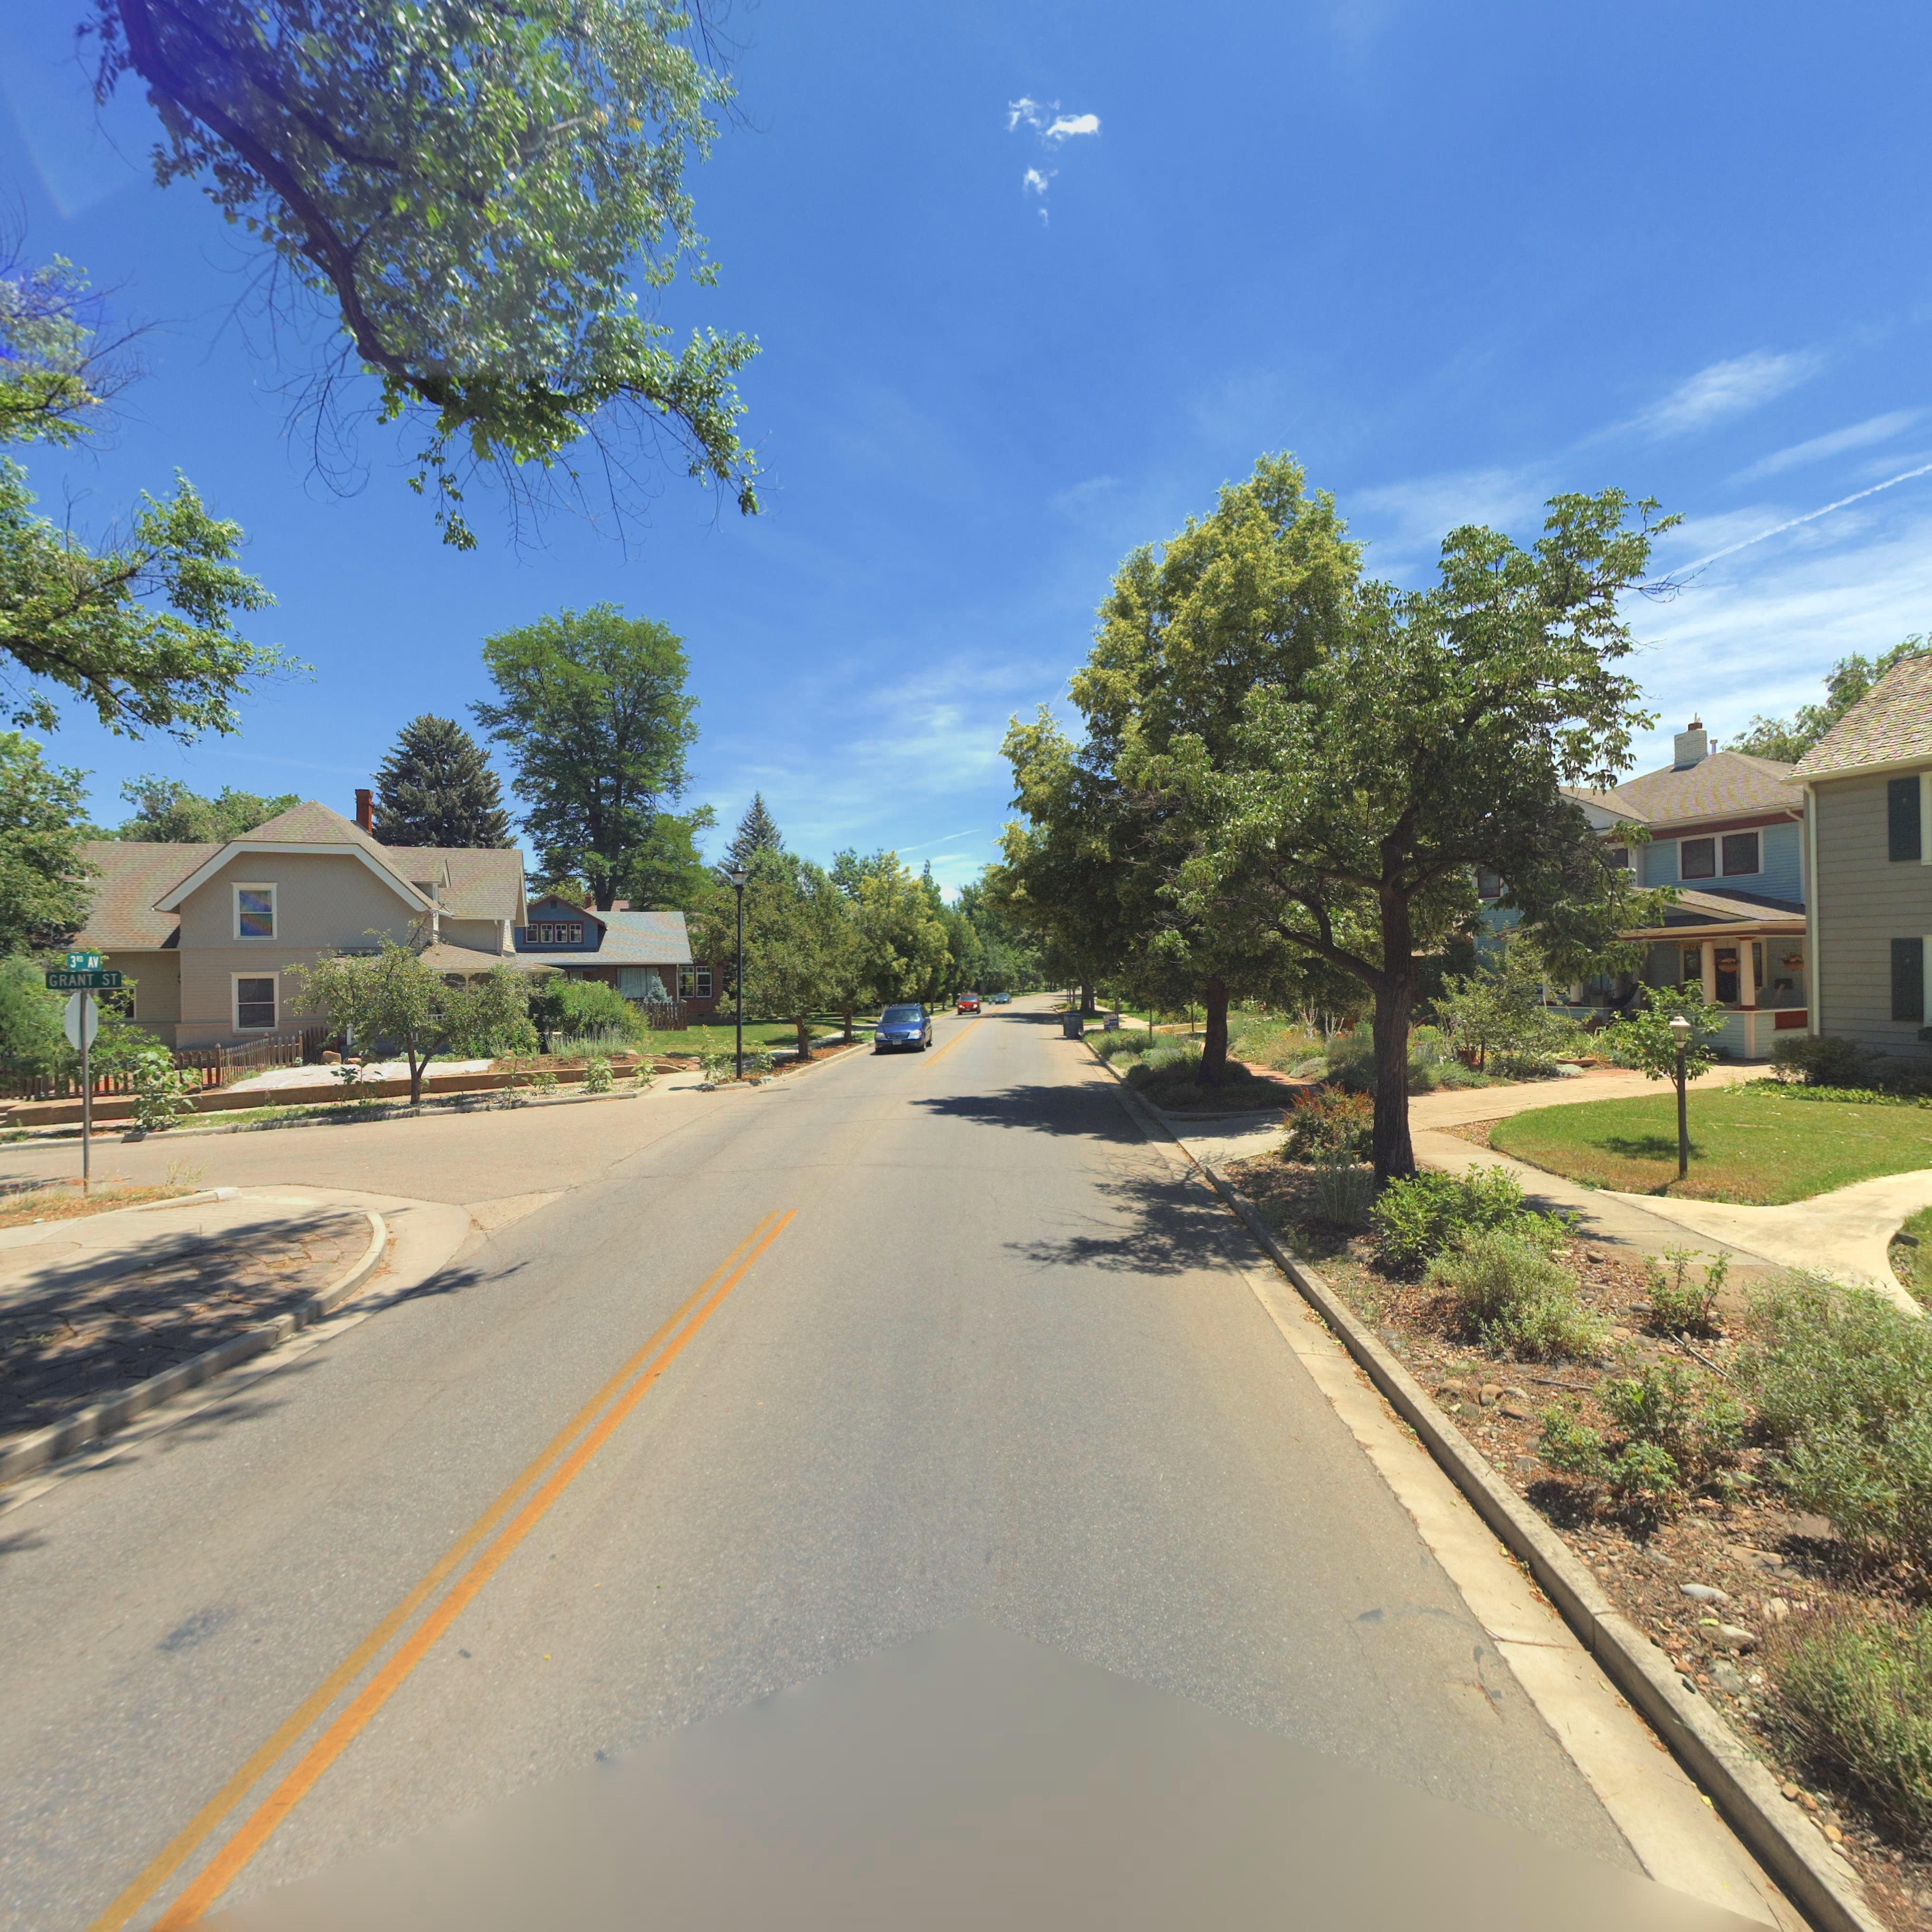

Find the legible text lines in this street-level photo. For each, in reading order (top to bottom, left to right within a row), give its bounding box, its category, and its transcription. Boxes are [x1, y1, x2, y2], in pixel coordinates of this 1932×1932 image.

[69, 955, 98, 968] StreetName: 3RD AV
[48, 973, 117, 986] StreetName: GRANT ST